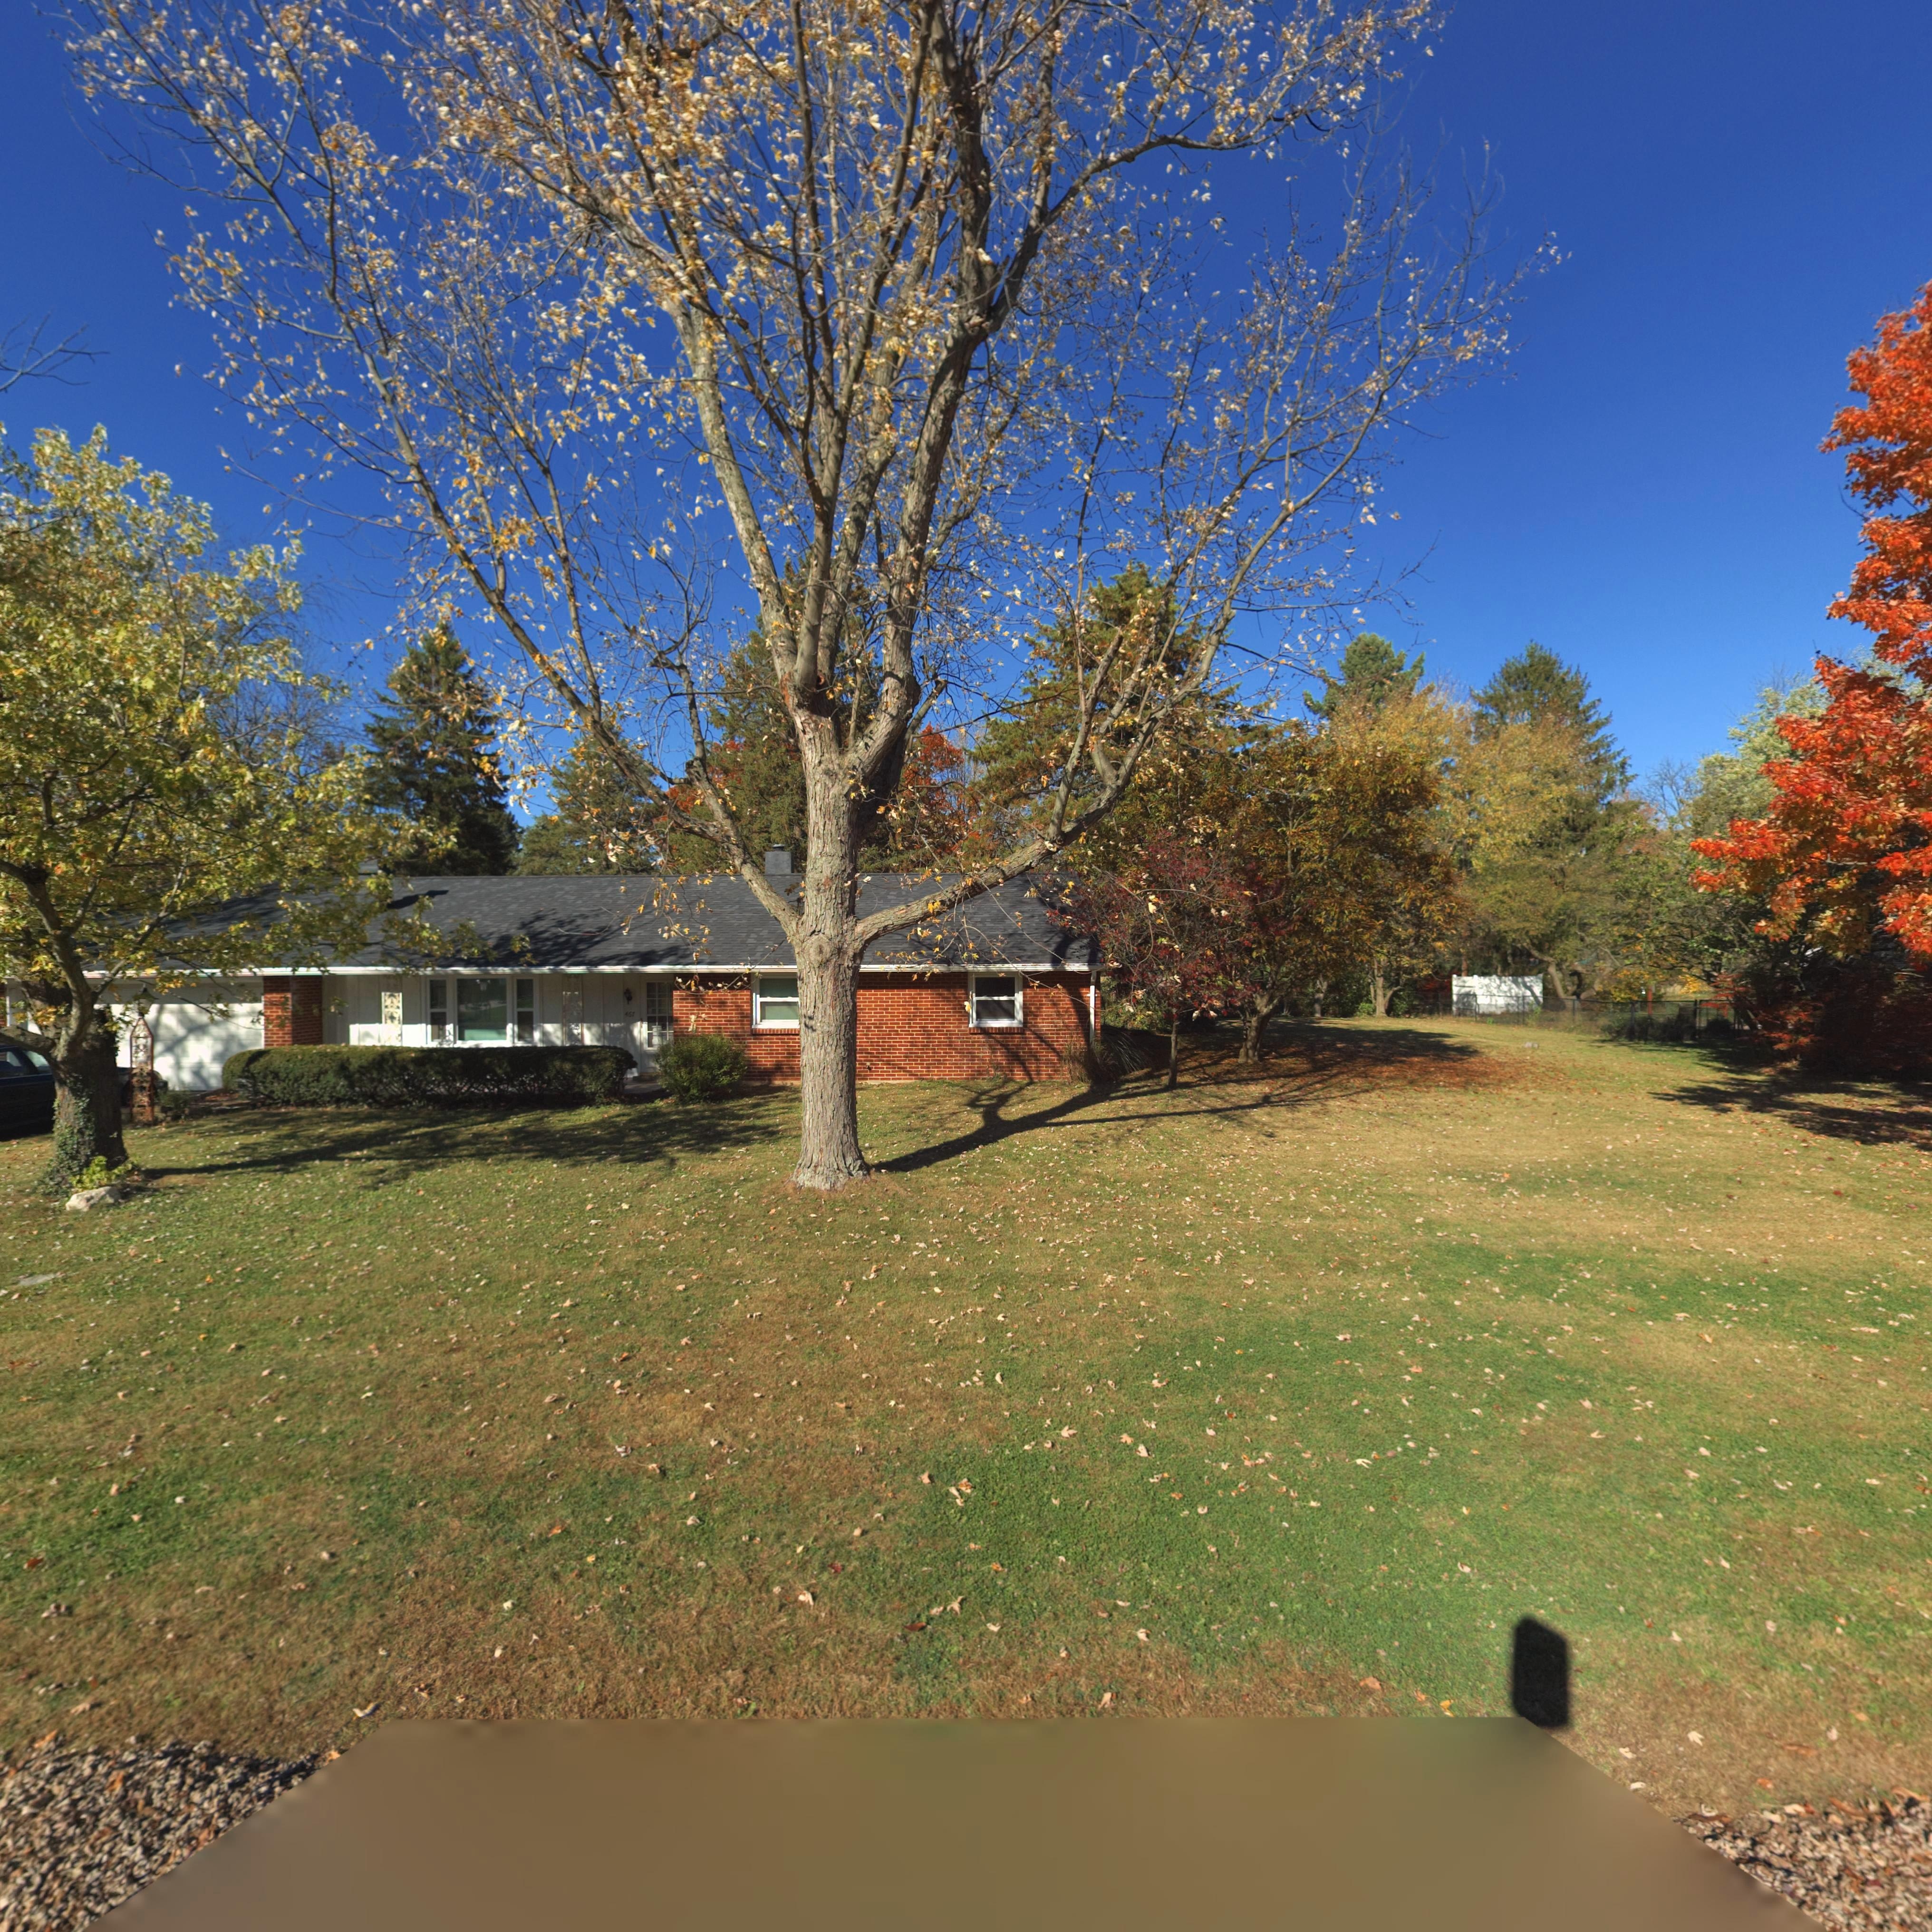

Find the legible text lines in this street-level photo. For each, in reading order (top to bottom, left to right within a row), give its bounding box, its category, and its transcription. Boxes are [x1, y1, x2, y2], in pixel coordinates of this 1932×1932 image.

[624, 1011, 636, 1018] StreetNumber: 467